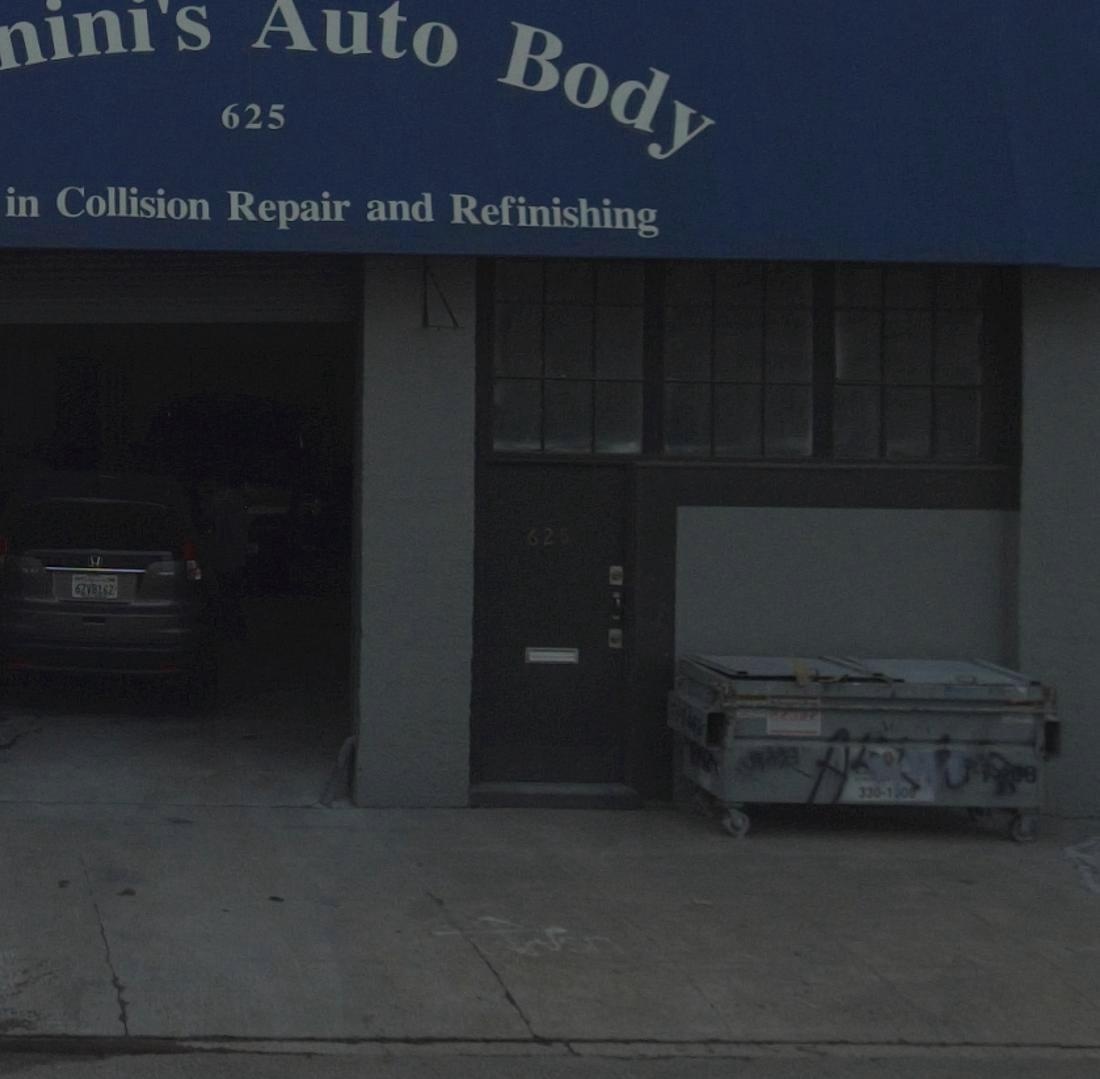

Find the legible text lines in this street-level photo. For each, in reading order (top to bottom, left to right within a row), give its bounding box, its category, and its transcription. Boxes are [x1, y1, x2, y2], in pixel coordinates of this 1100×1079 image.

[72, 4, 719, 163] BusinessName: uto Body
[218, 102, 291, 132] StreetNumber: 625
[4, 183, 667, 242] None: in Collision Repair and Refinishing
[526, 526, 570, 547] StreetNumber: 625
[74, 583, 116, 597] None: 6*VB162
[857, 785, 918, 801] None: 330-1*0*